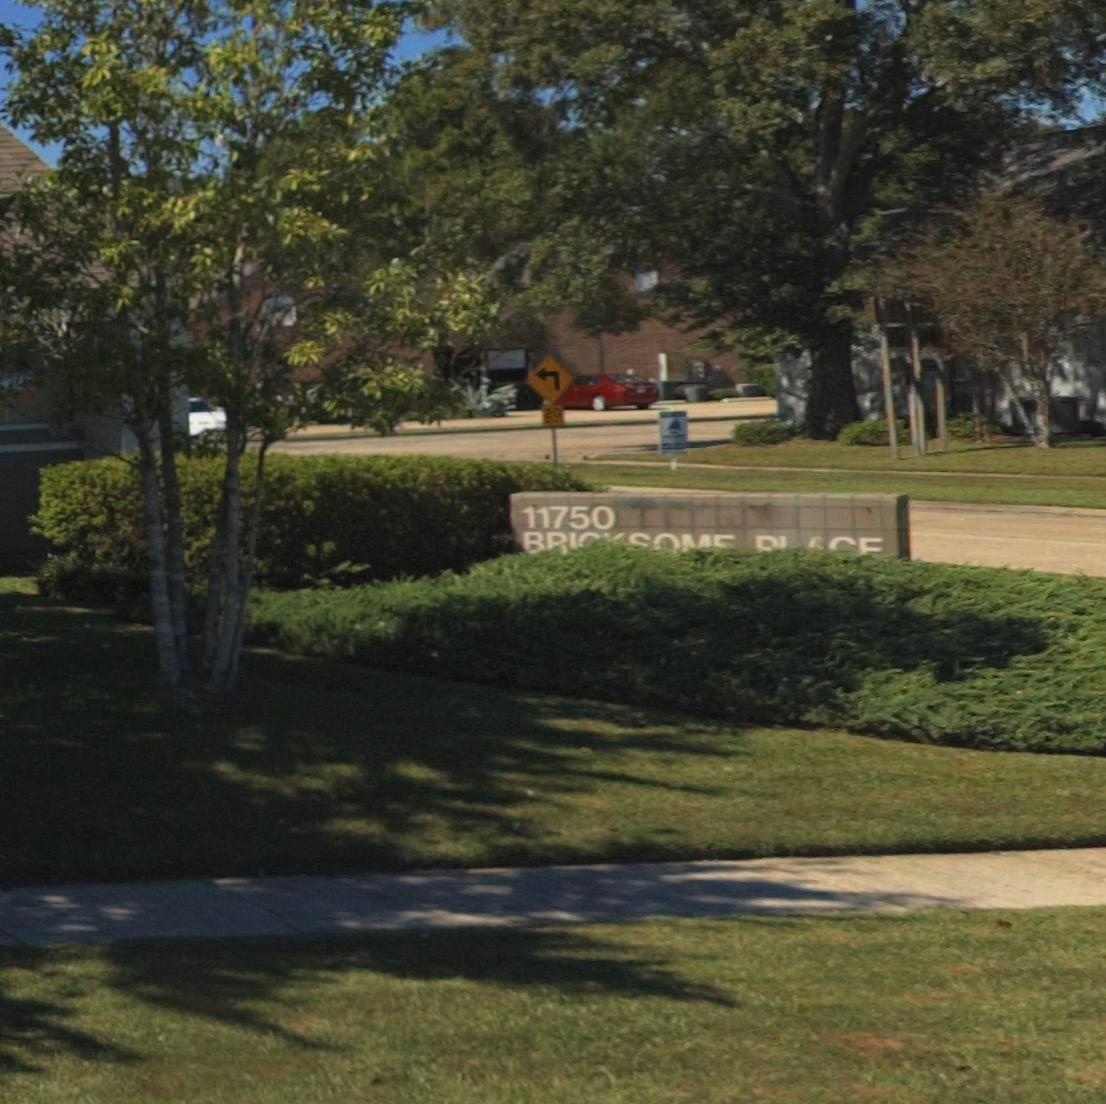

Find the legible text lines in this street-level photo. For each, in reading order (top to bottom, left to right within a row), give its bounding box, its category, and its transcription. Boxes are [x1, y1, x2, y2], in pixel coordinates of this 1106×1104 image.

[542, 405, 564, 420] None: 20
[519, 502, 619, 533] StreetNumber: 11750